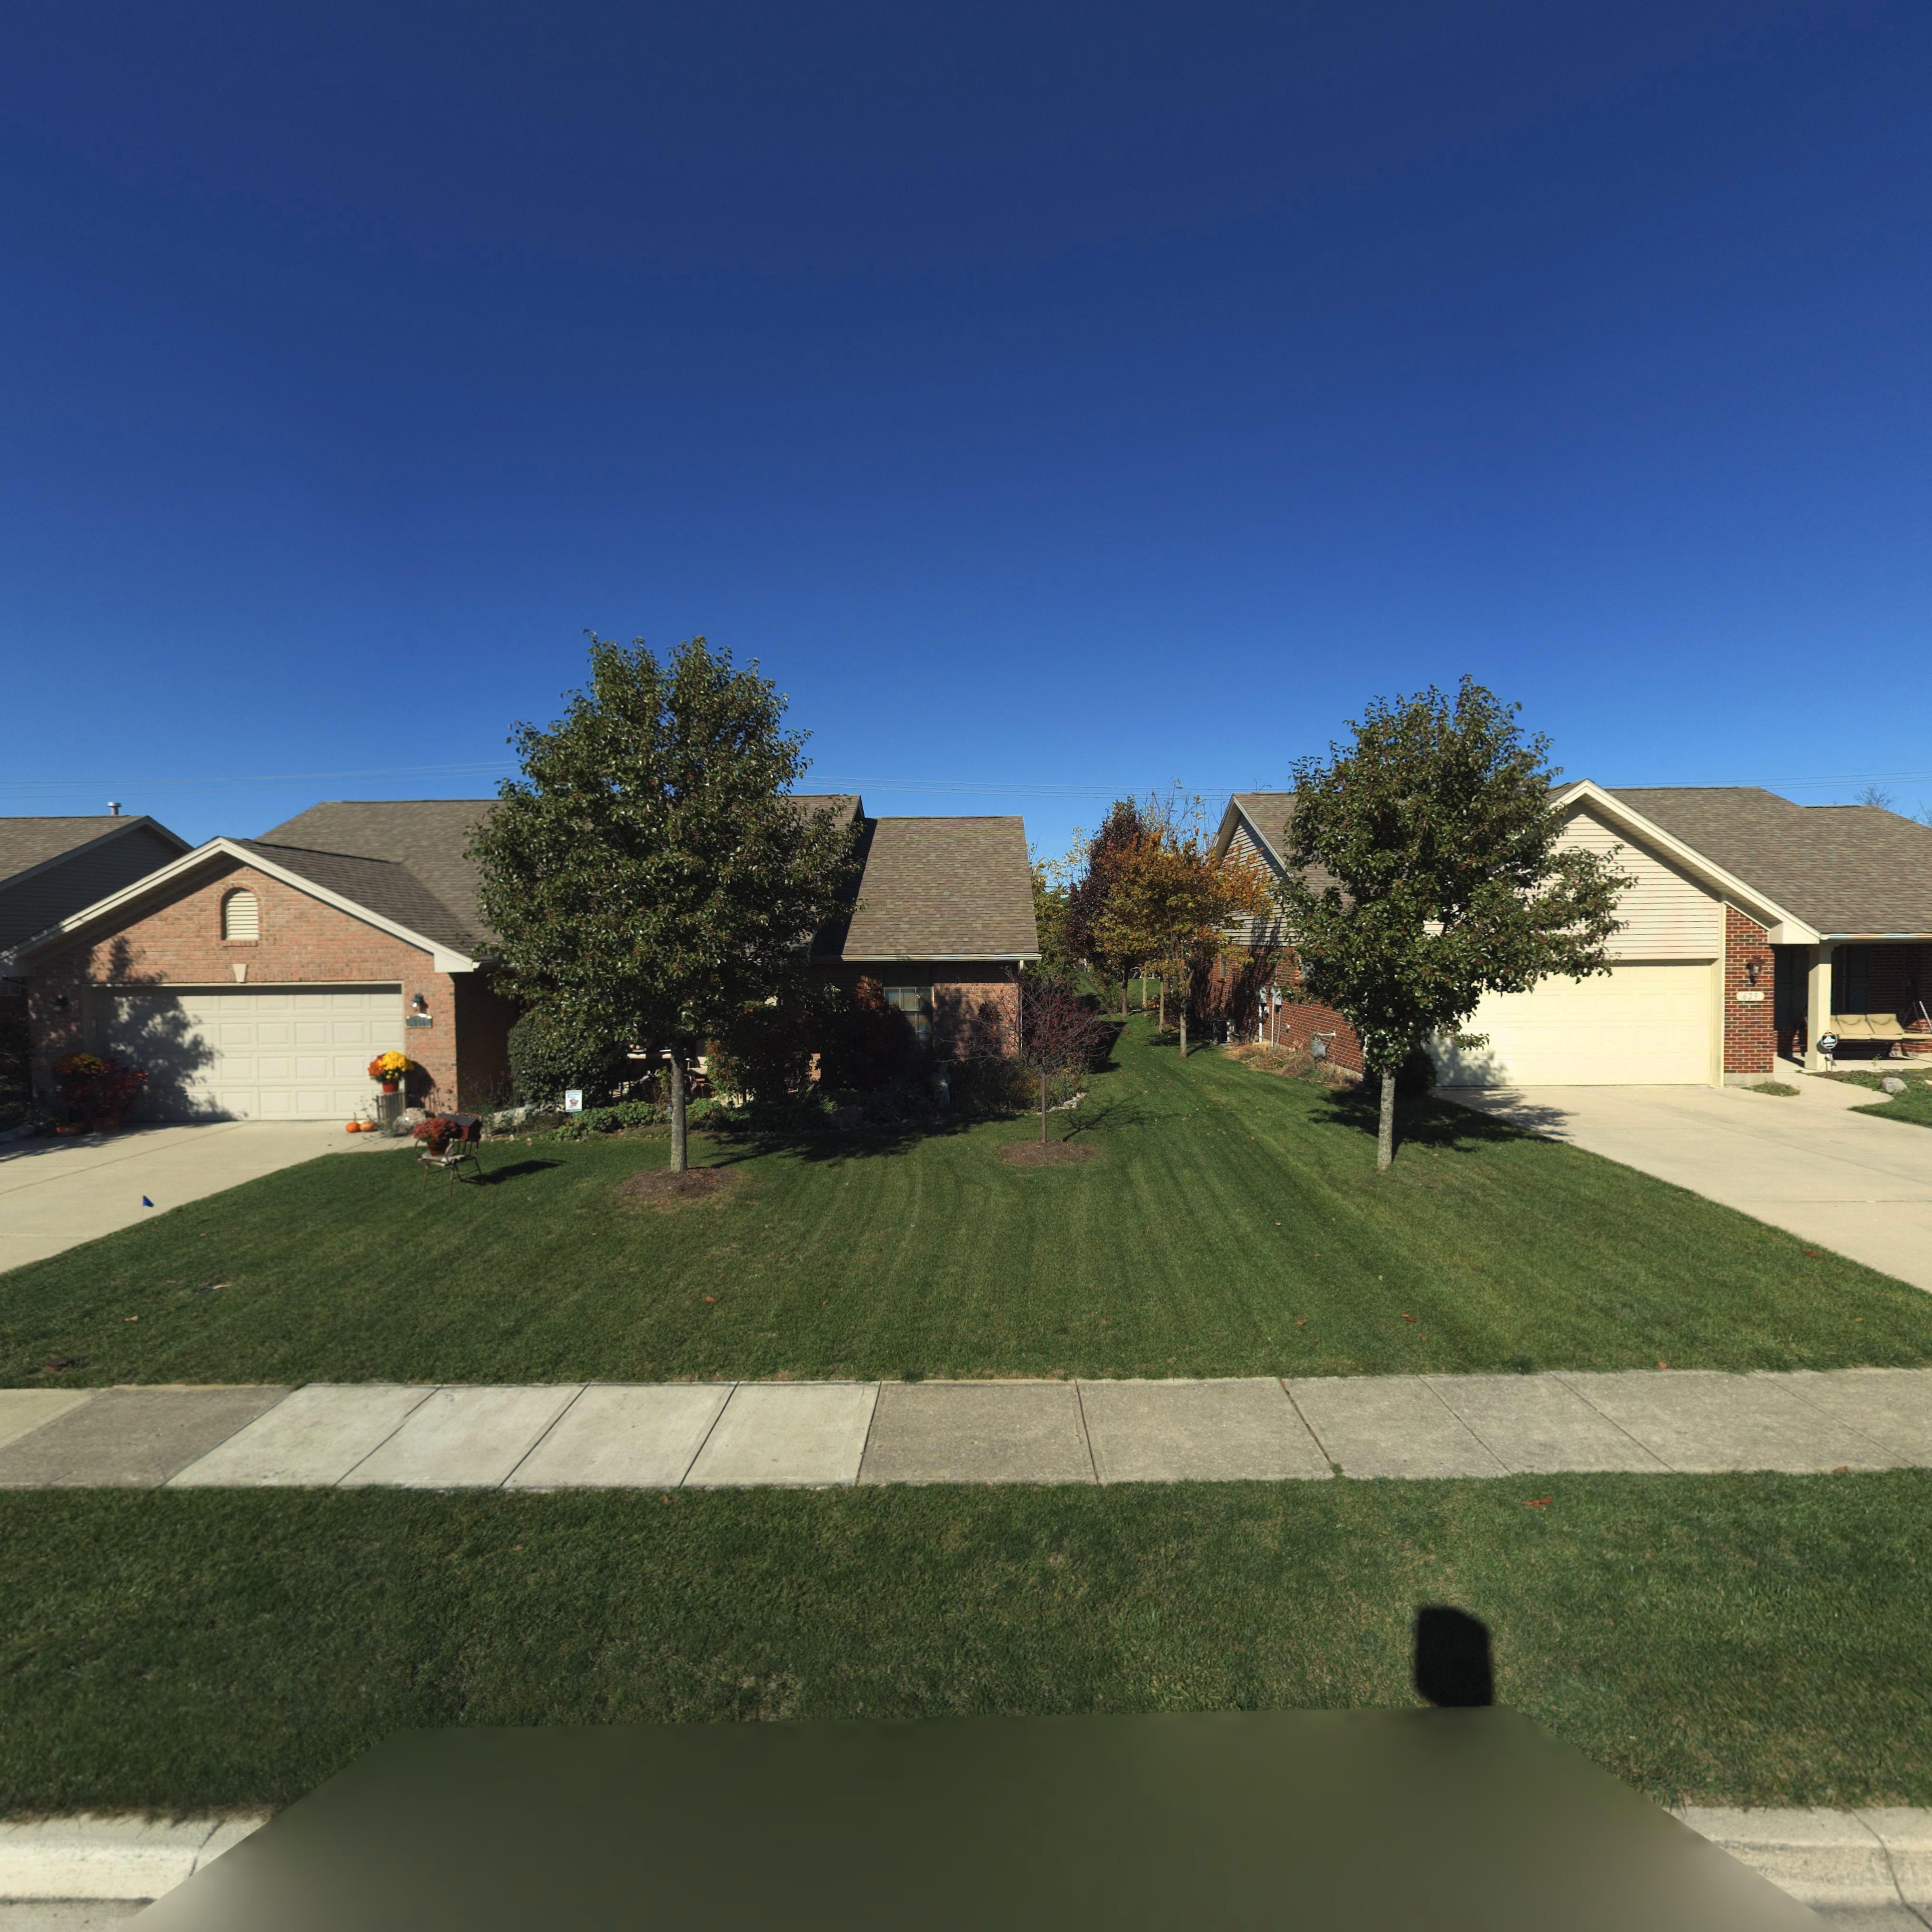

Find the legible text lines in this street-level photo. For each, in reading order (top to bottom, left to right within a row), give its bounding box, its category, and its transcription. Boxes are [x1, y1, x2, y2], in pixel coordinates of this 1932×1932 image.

[1741, 991, 1759, 1001] StreetNumber: 629